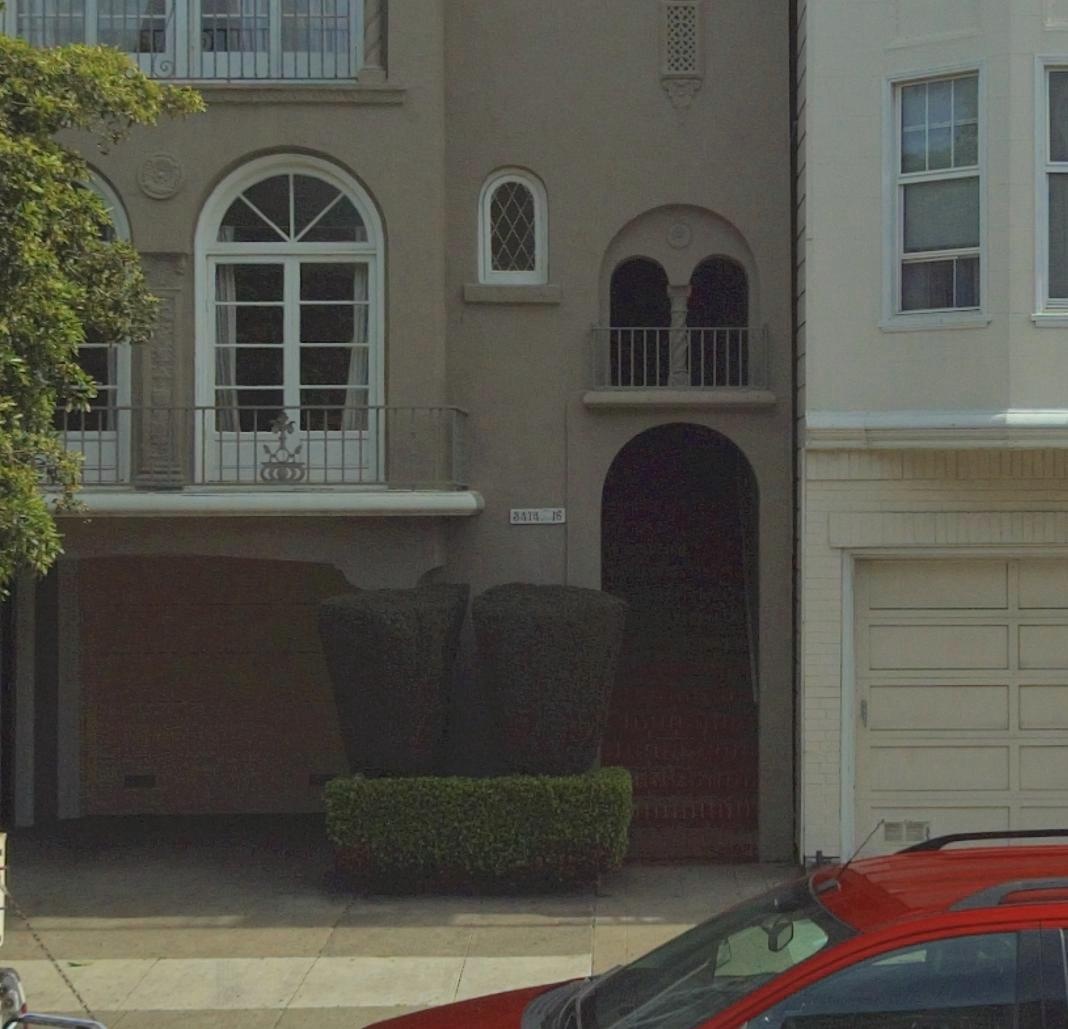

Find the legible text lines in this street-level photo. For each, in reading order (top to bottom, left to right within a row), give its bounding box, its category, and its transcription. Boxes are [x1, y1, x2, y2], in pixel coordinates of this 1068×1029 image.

[511, 508, 564, 524] StreetNumber: 3414 16